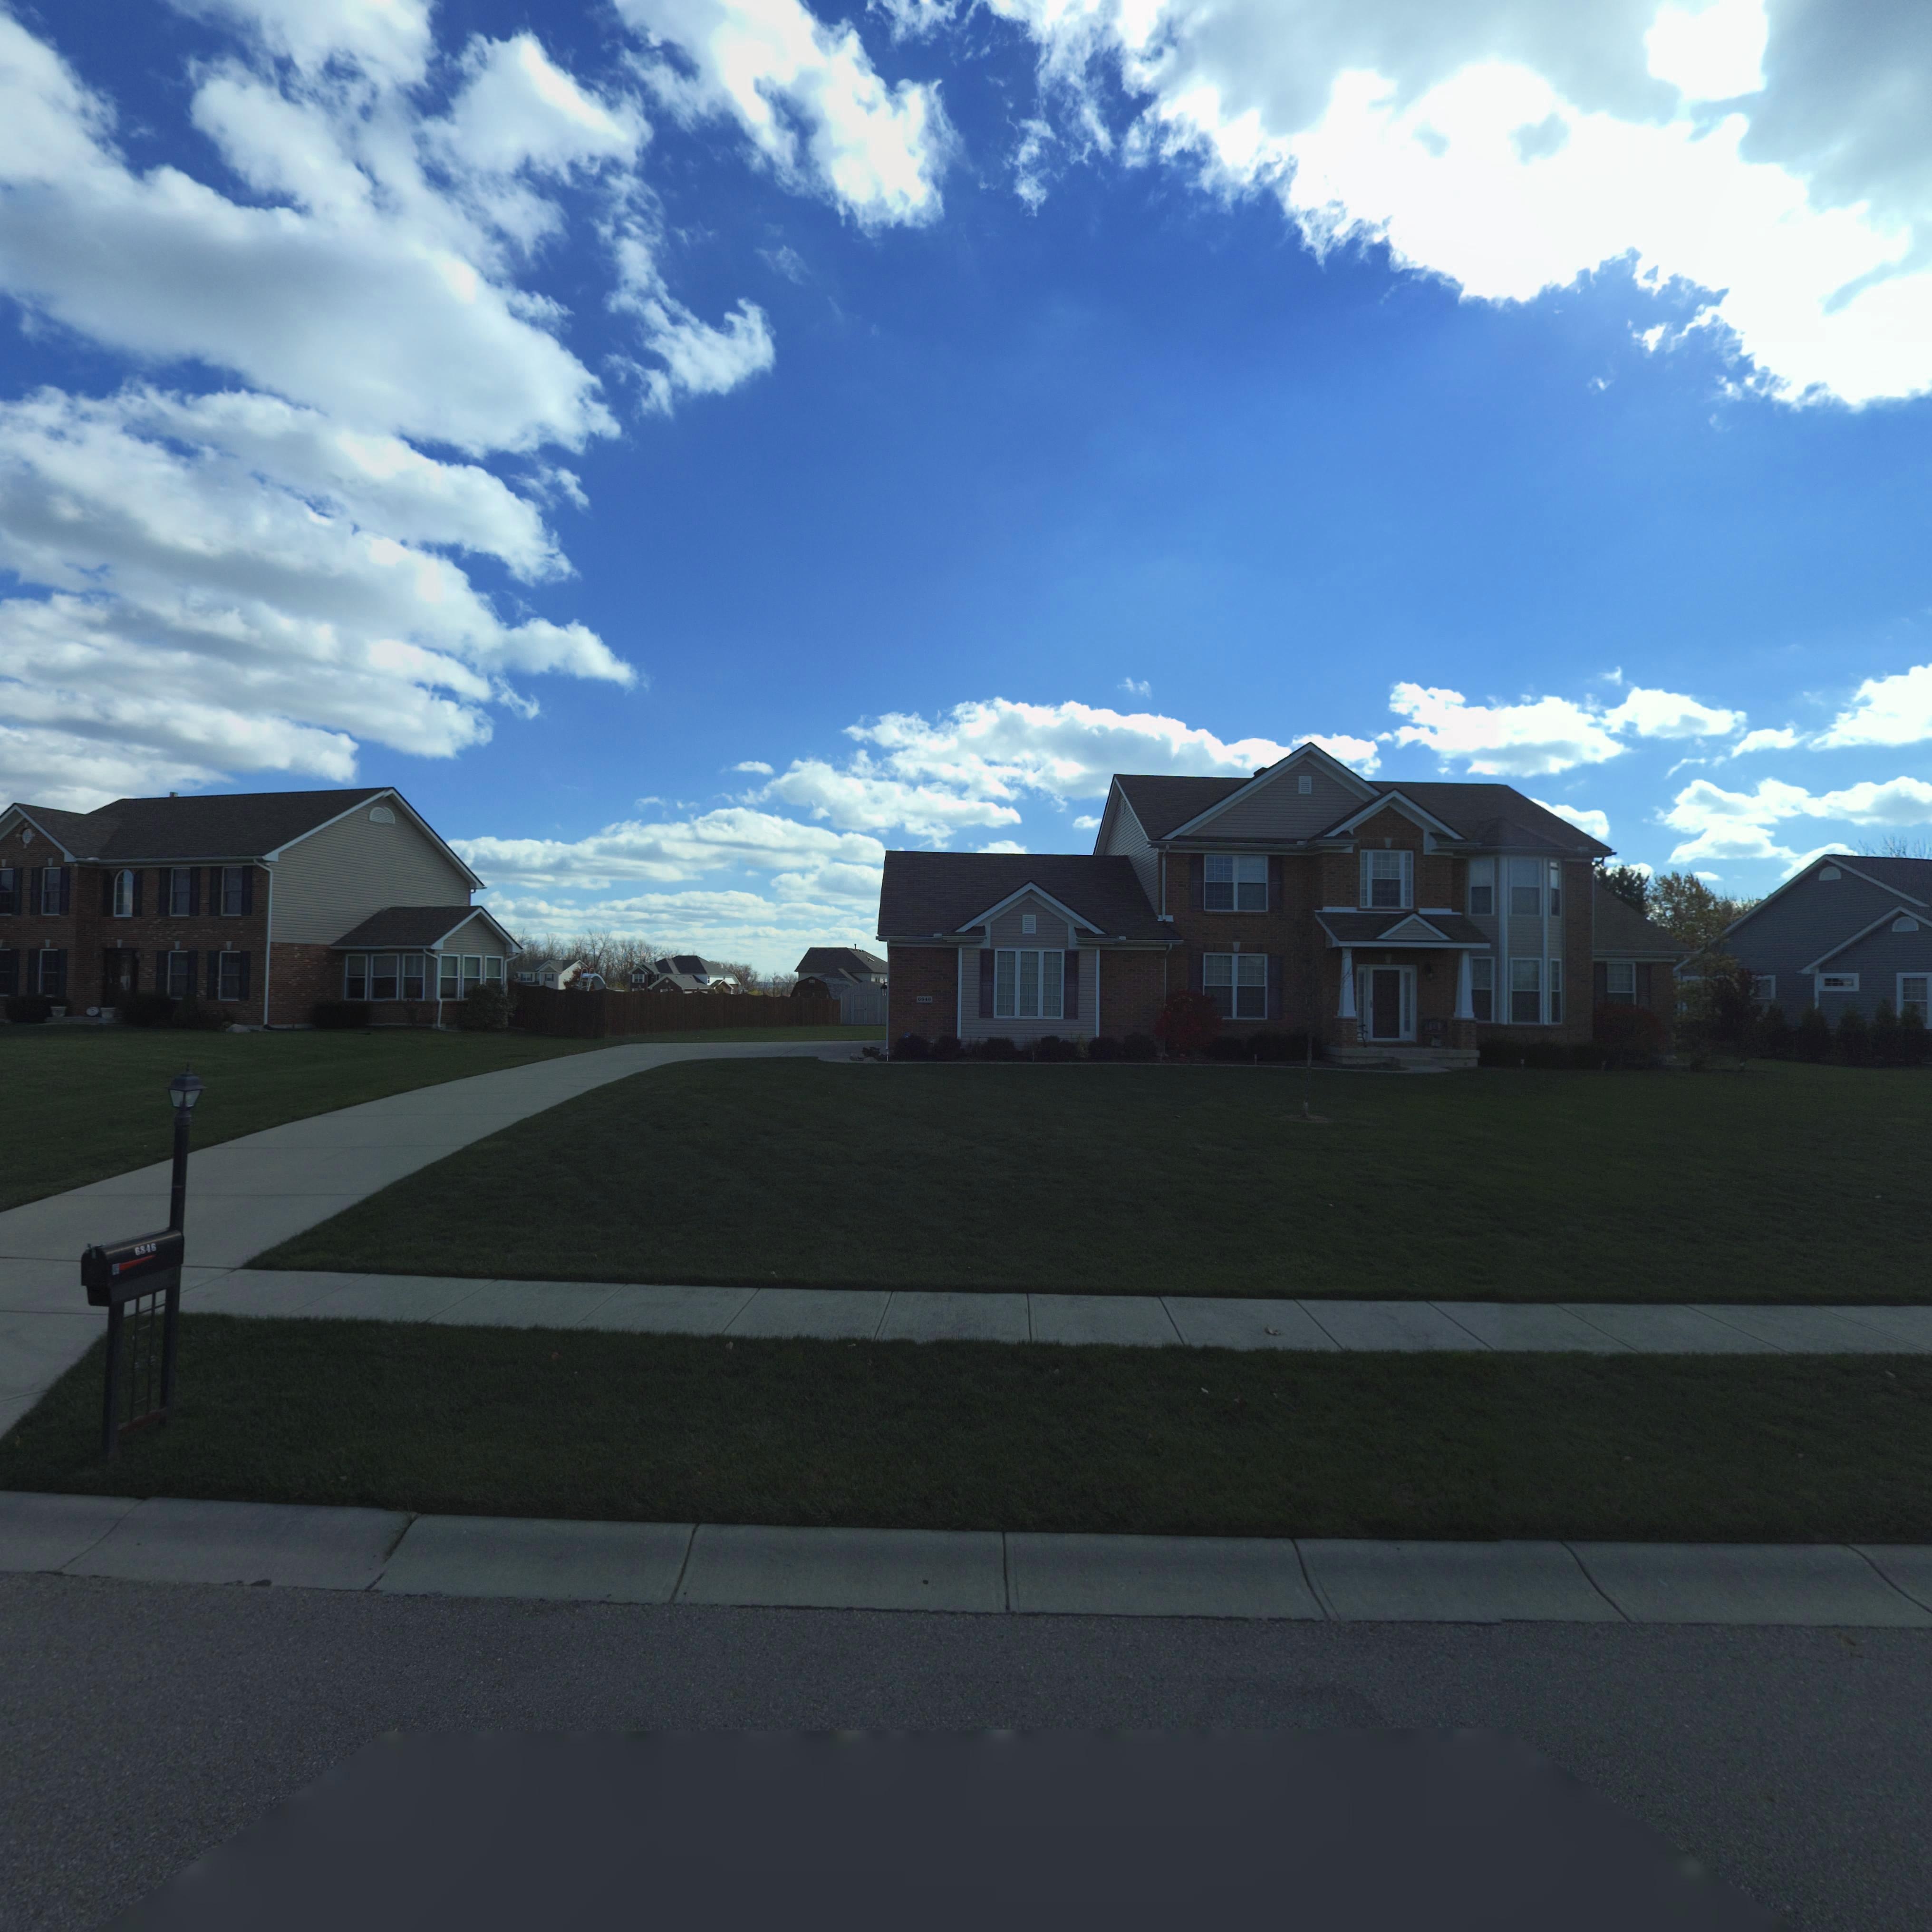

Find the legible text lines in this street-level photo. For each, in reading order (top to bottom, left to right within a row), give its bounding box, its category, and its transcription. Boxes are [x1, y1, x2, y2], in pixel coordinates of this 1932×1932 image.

[917, 996, 932, 1002] StreetNumber: *846
[134, 1242, 157, 1257] StreetNumber: 6846